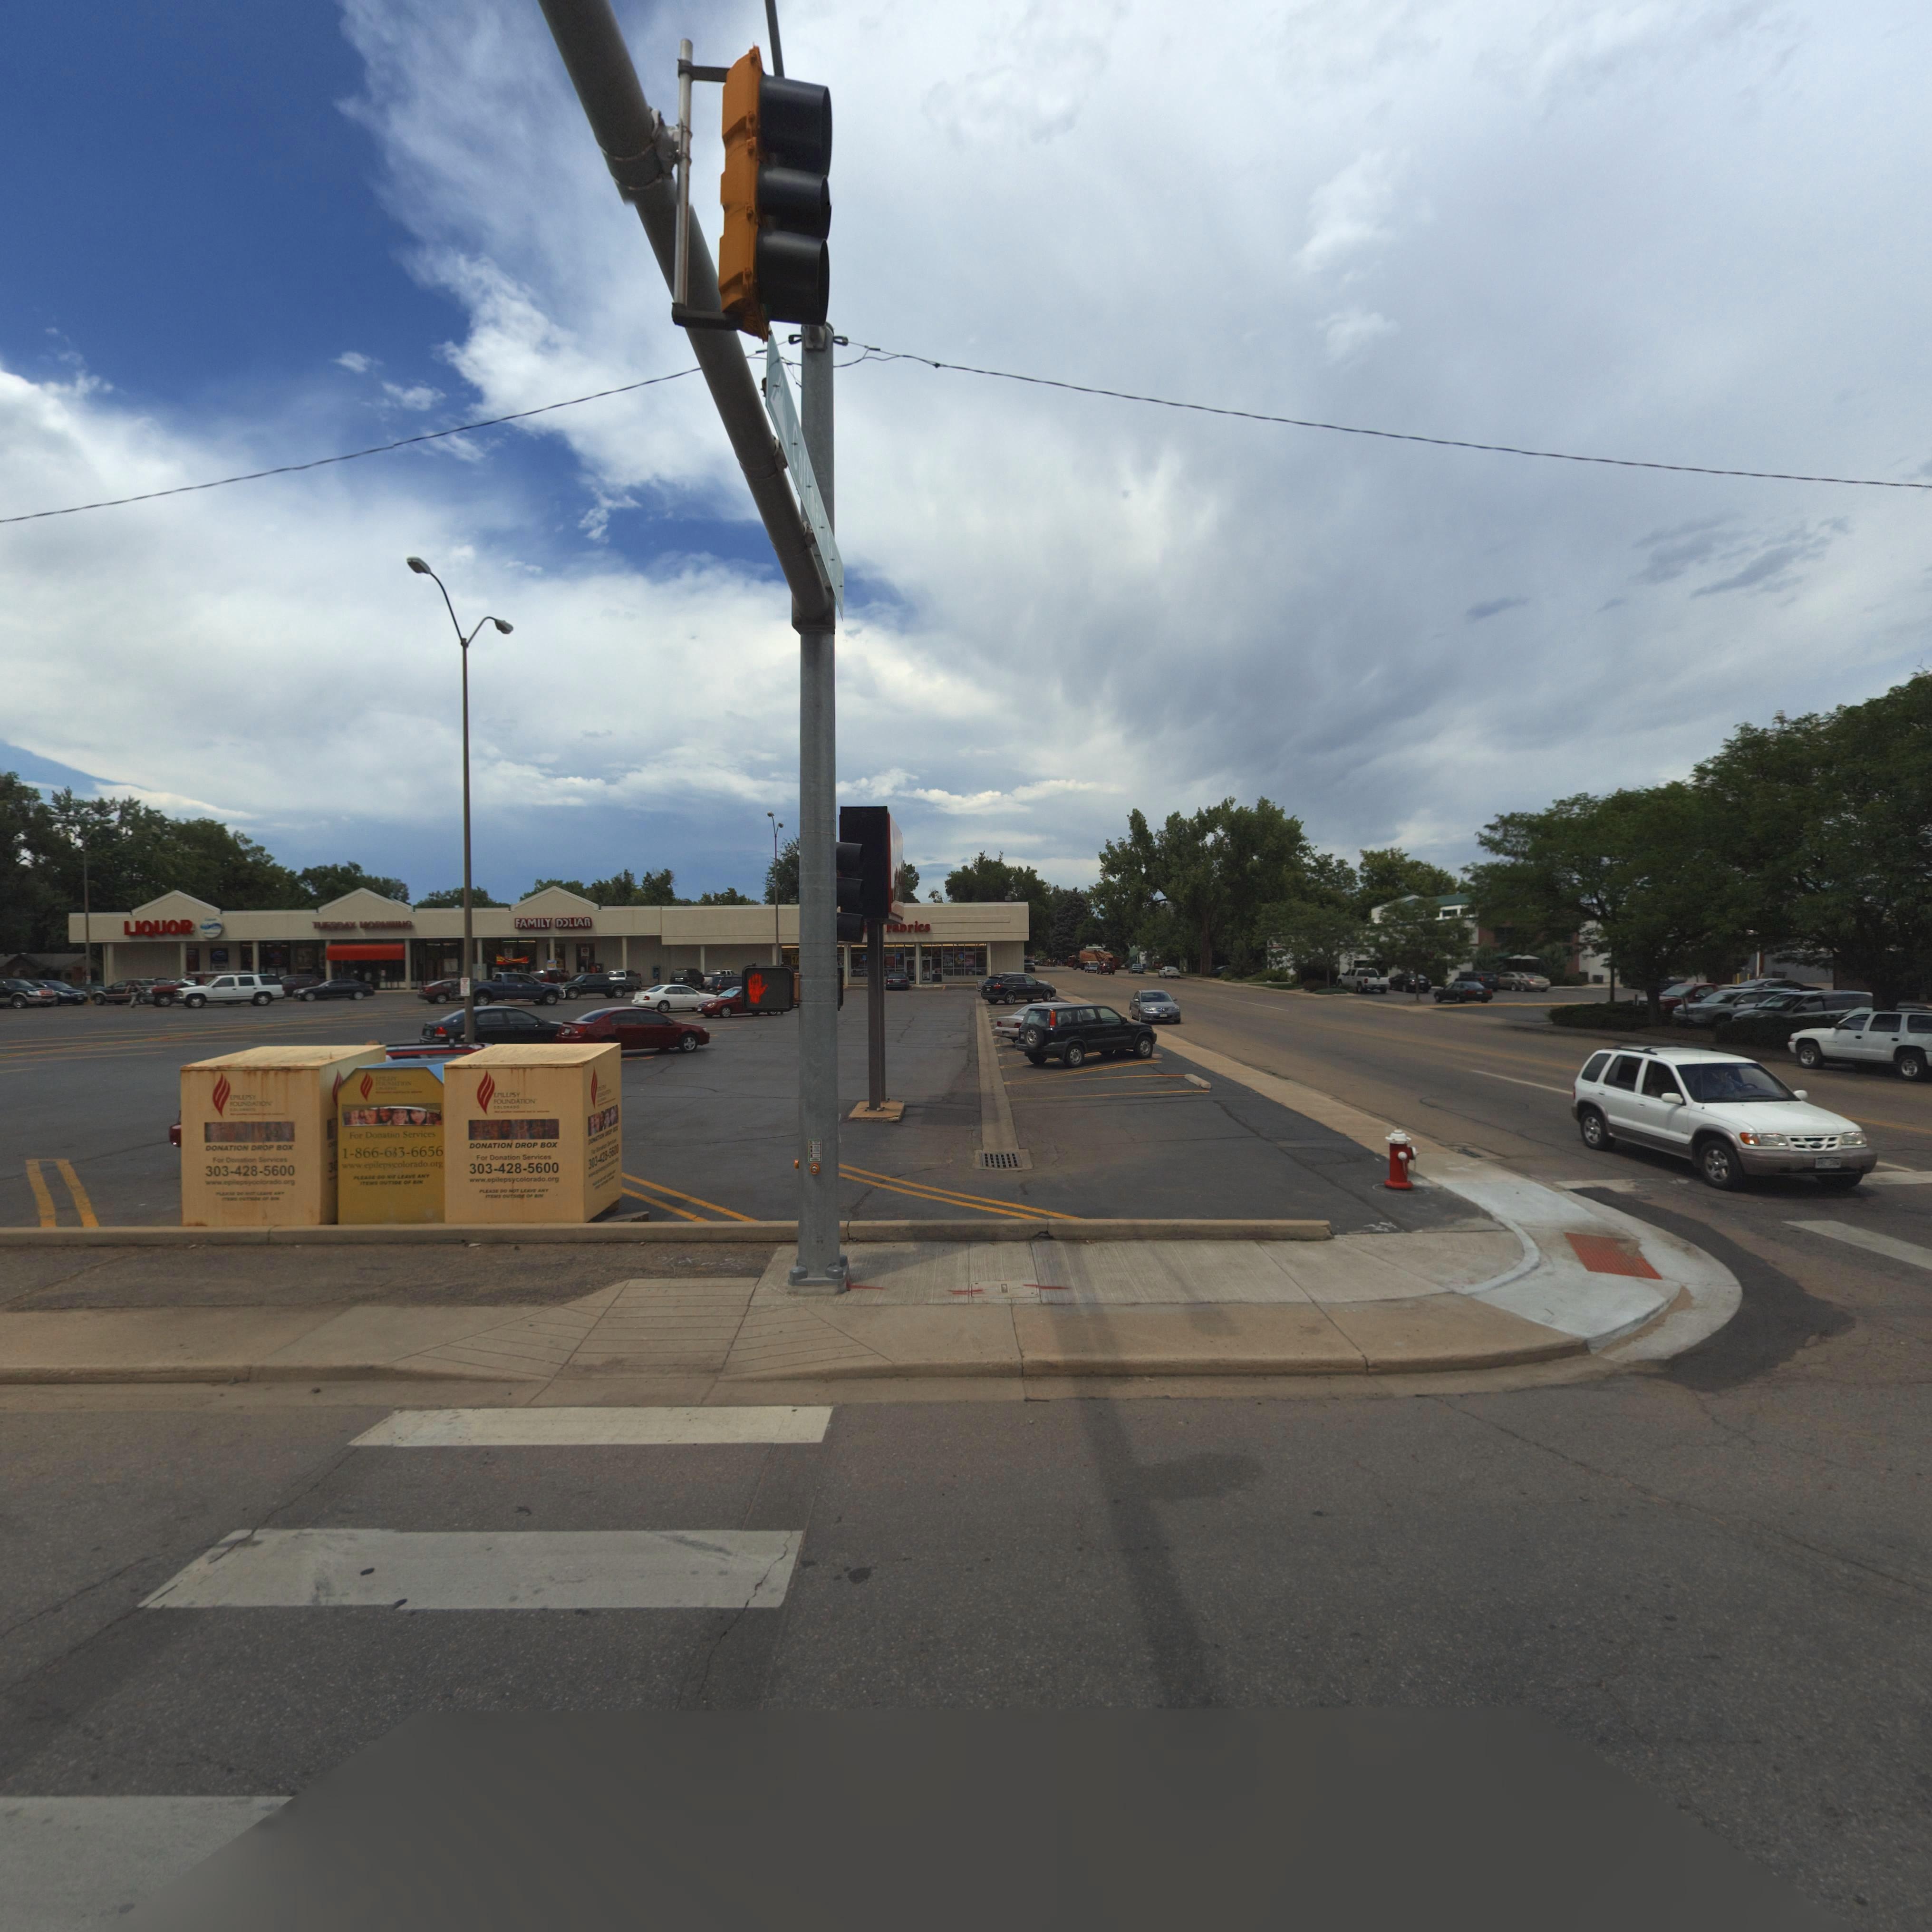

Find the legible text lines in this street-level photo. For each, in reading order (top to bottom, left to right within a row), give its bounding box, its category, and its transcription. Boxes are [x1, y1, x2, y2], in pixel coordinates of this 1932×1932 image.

[792, 421, 833, 578] StreetName: Coffman St
[312, 919, 413, 930] BusinessName: TUESDAY MORNING
[513, 916, 592, 928] BusinessName: FAMILY DOLLAR
[886, 918, 930, 933] BusinessName: *a*rics